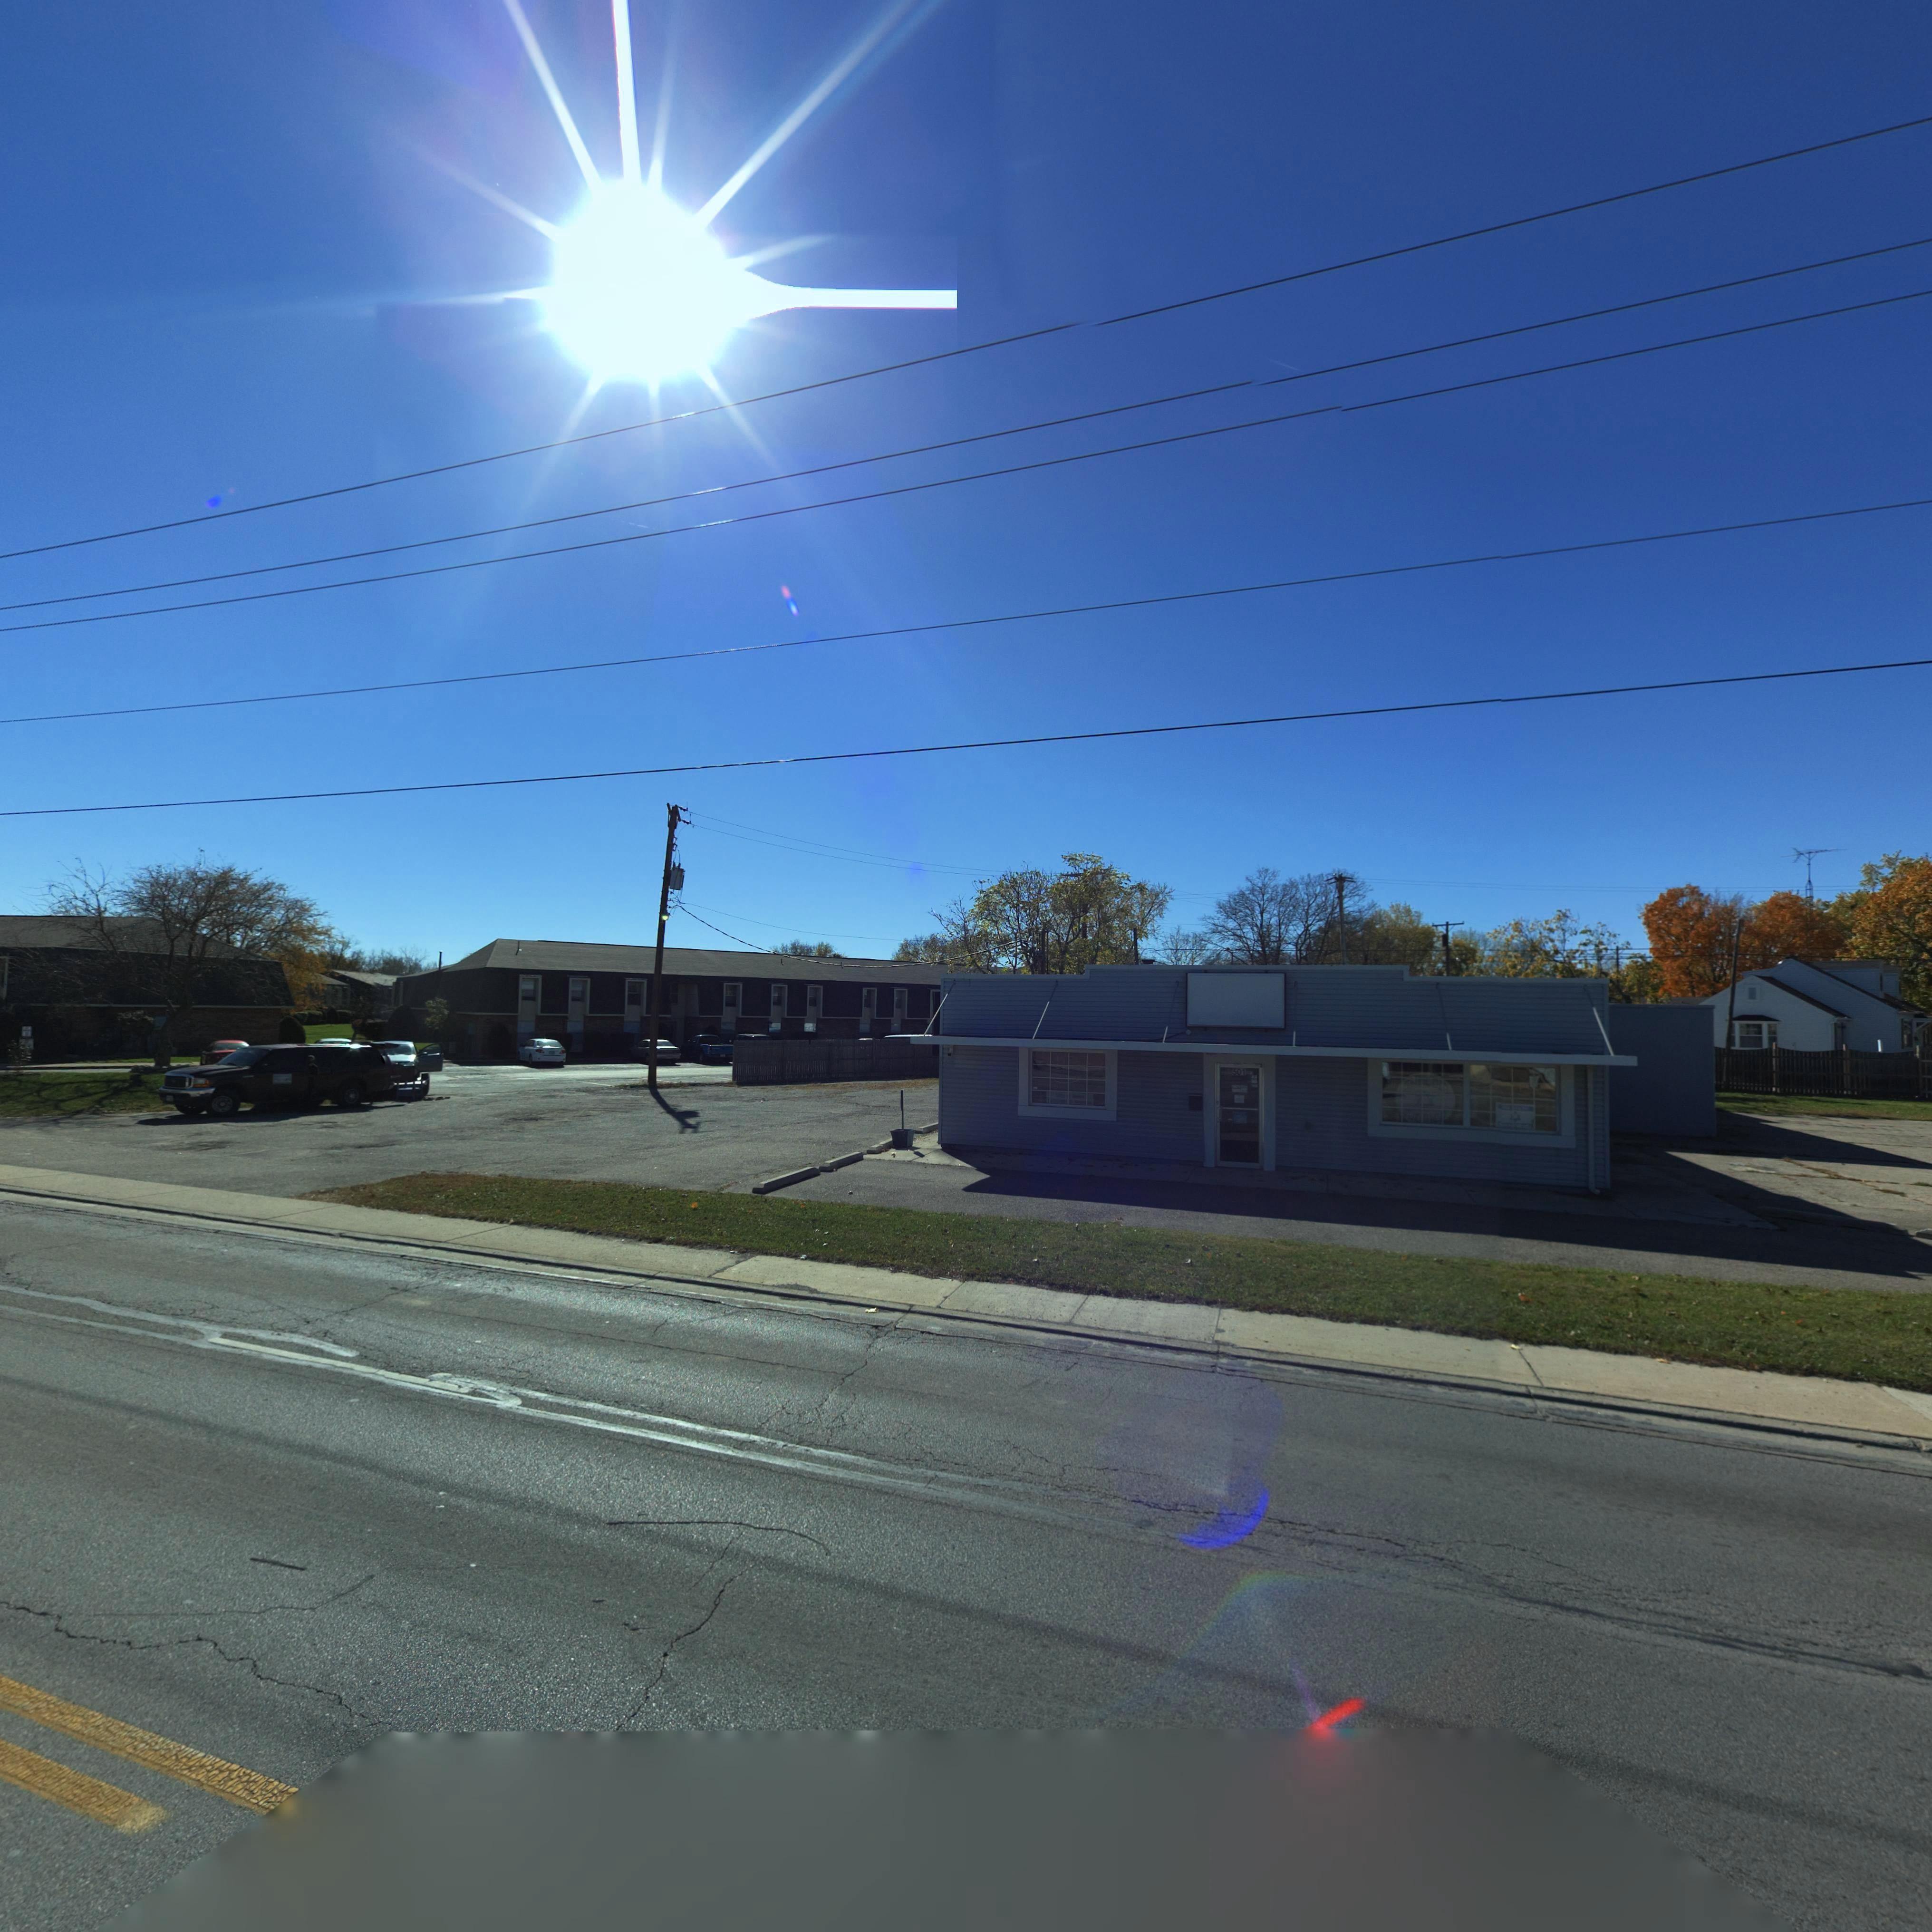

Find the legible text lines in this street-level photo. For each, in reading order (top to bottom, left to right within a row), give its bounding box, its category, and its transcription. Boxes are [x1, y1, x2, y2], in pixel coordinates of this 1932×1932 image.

[1232, 1068, 1246, 1076] StreetNumber: 501